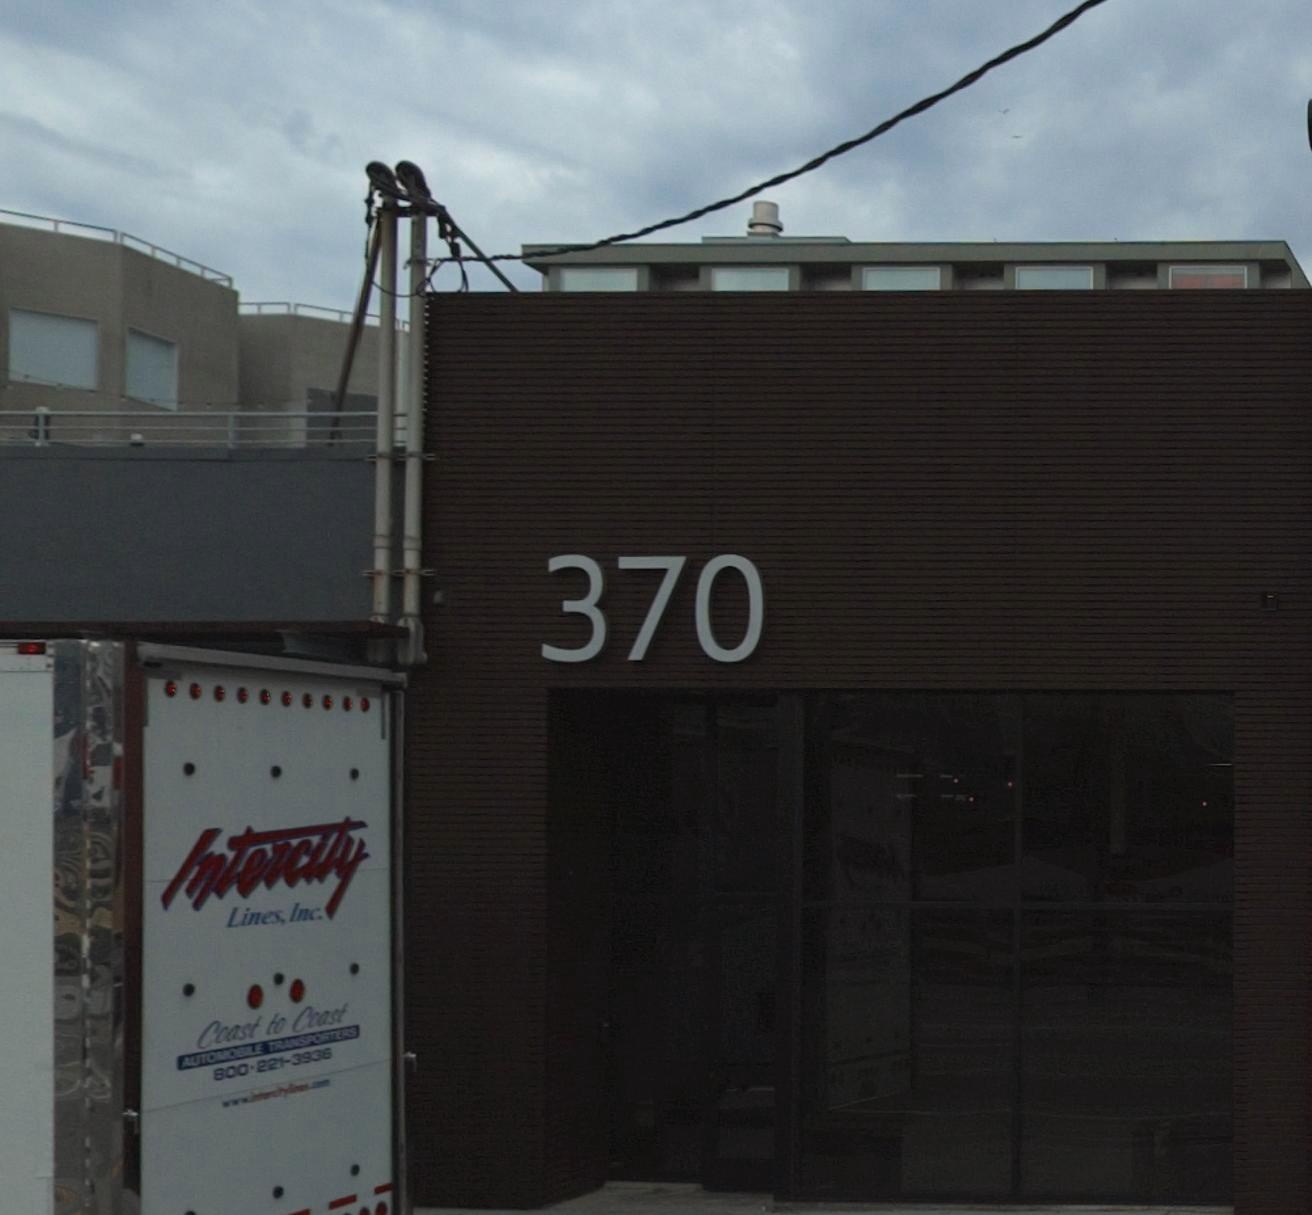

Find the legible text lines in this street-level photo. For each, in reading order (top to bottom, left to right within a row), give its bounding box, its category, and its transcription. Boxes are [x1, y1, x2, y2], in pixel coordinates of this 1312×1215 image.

[537, 547, 769, 668] StreetNumber: 370
[152, 811, 376, 926] None: Intercity
[221, 896, 327, 932] None: Lines Inc.
[178, 1023, 360, 1072] None: AUTOMOBILE TRANSPORTERS
[192, 997, 353, 1053] None: Coast to Coast
[210, 1044, 335, 1084] None: 800-221-3936